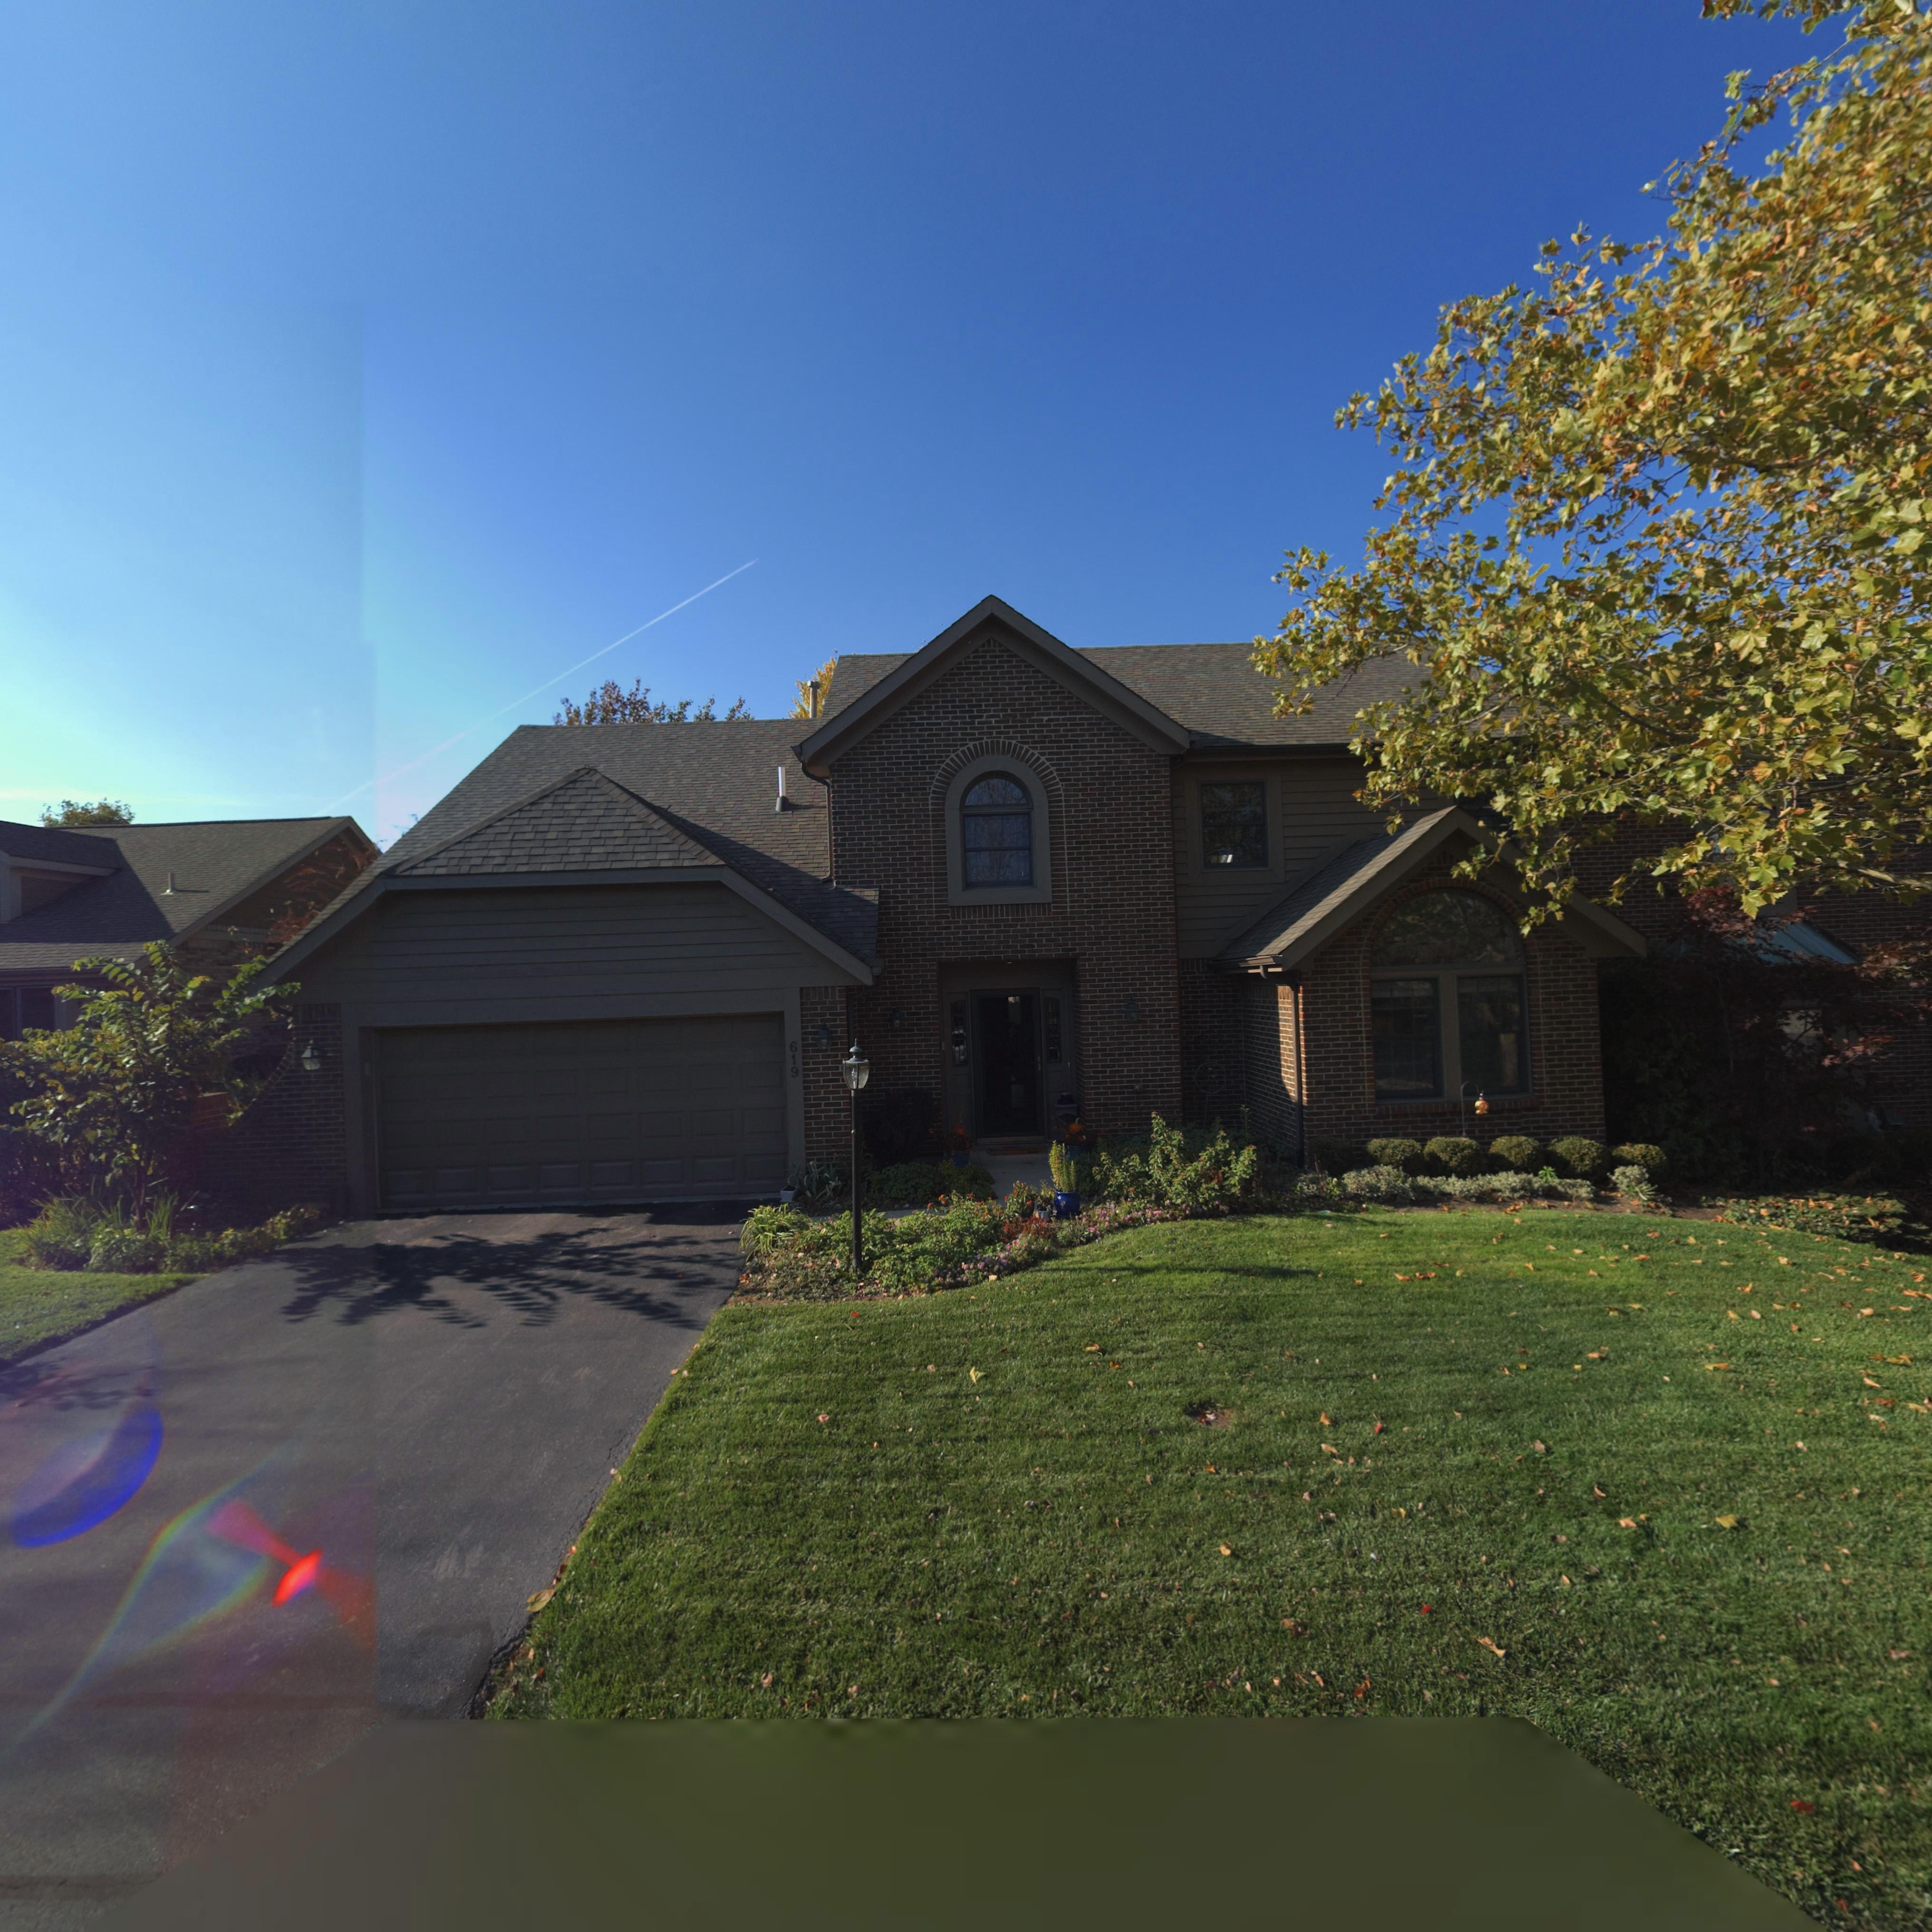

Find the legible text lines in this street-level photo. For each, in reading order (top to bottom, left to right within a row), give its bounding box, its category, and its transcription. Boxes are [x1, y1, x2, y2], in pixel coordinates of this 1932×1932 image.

[788, 1040, 800, 1079] StreetNumber: 619